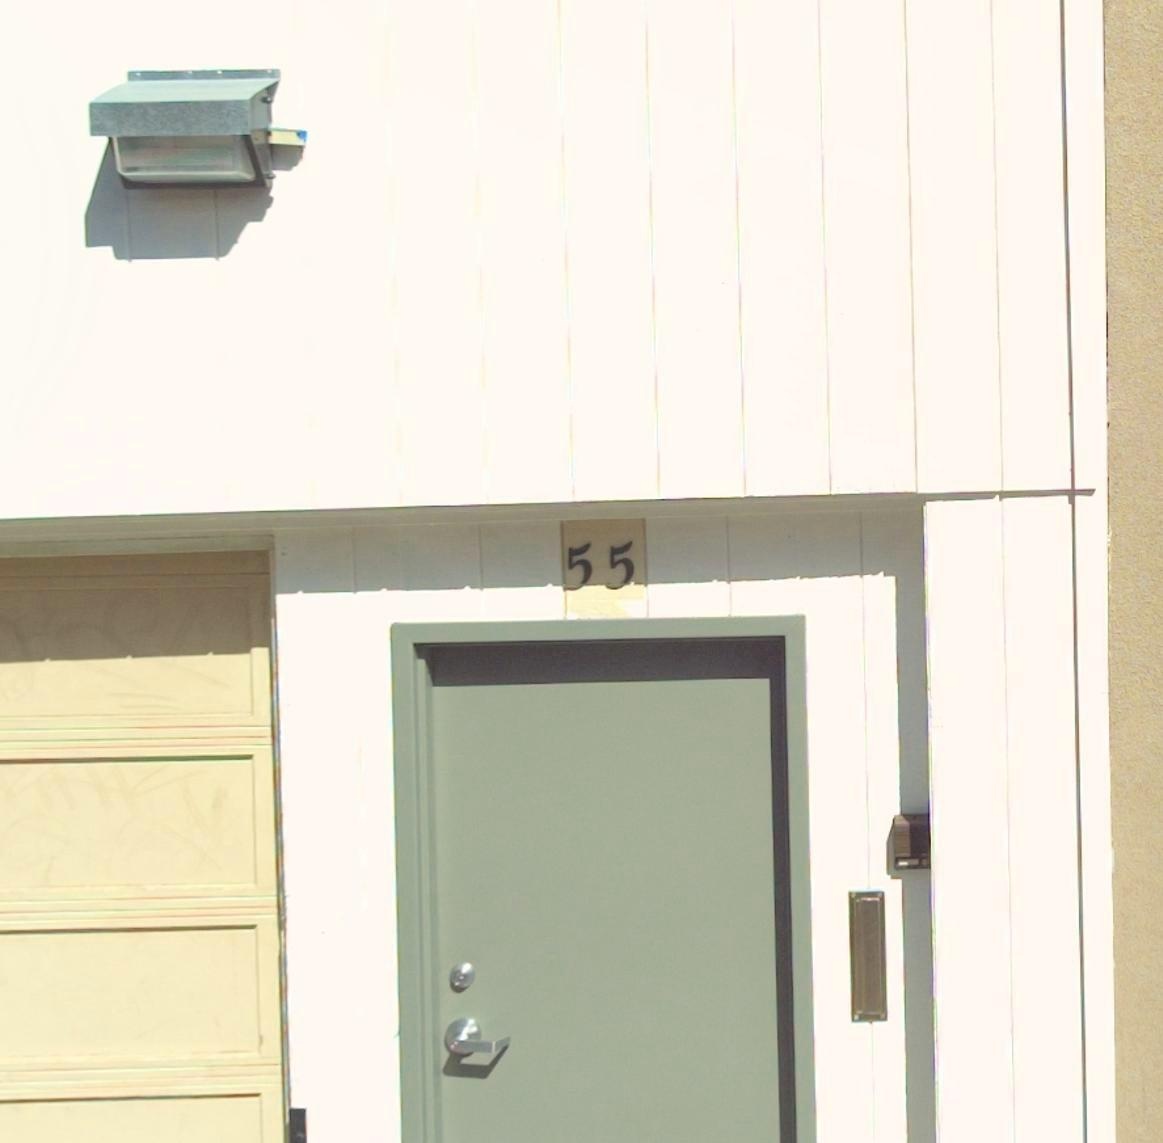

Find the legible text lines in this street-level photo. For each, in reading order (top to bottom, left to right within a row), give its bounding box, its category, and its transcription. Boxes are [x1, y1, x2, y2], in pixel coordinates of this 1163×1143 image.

[562, 536, 639, 594] StreetNumber: 55